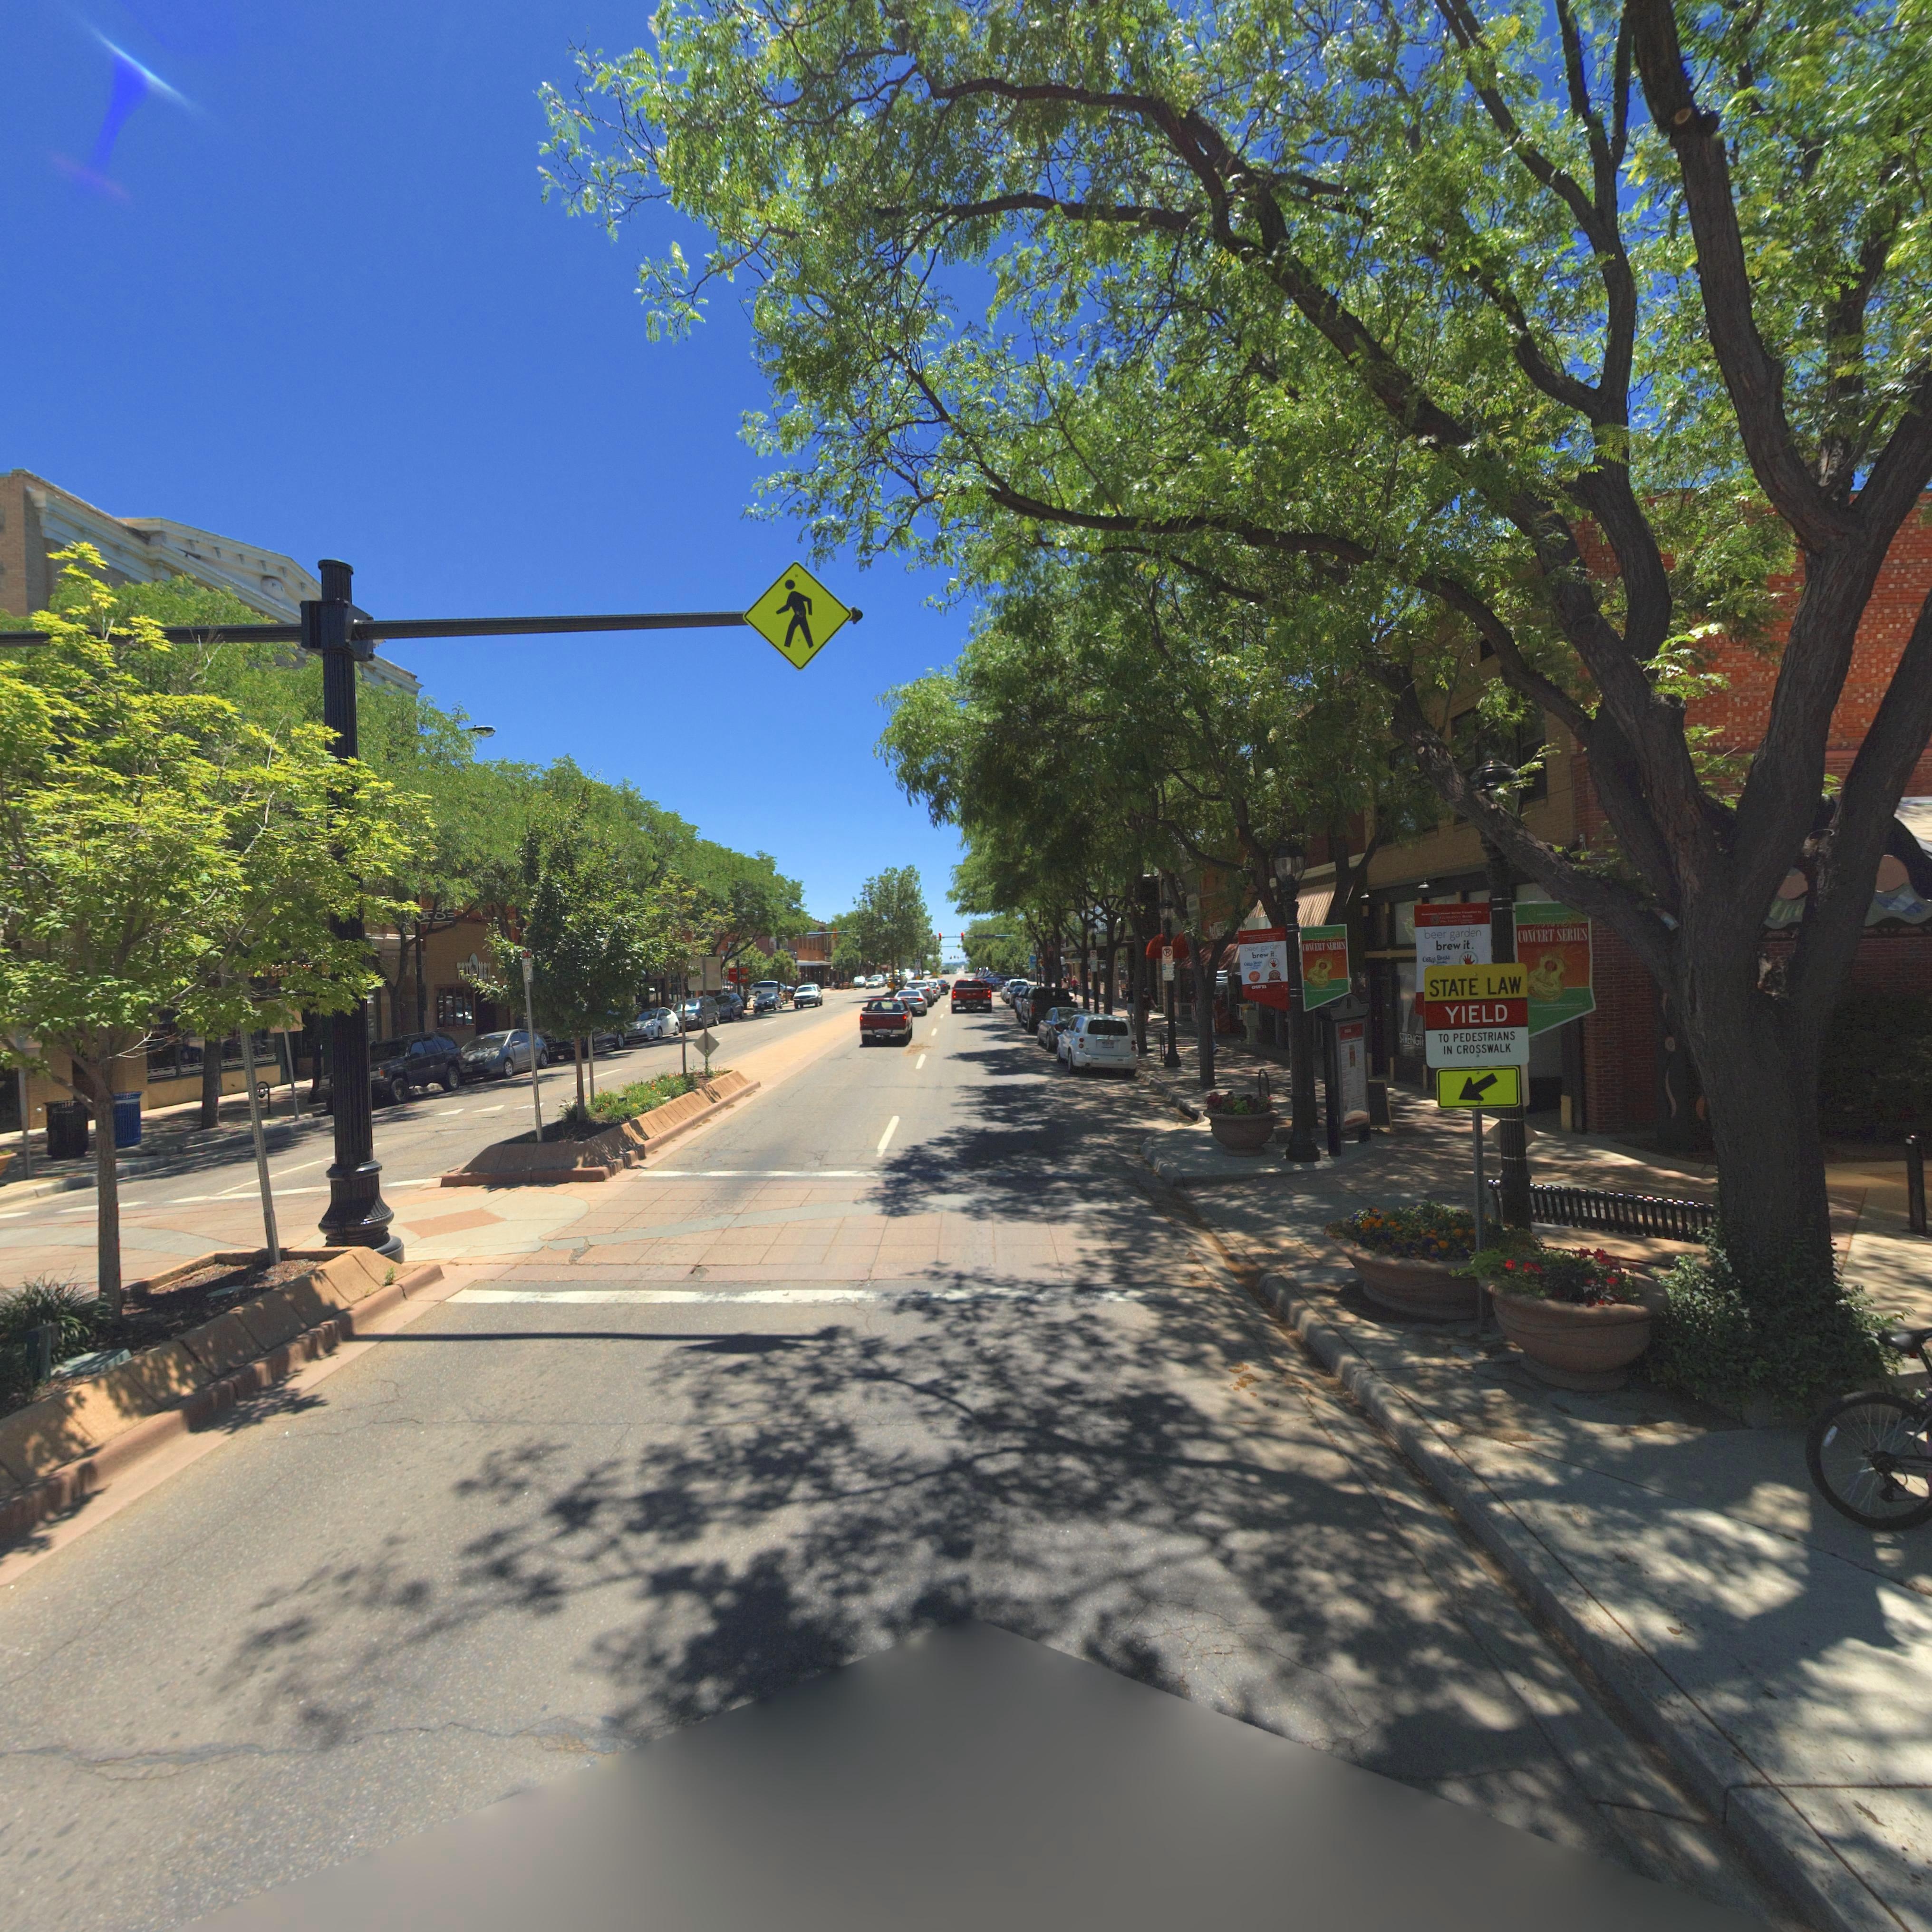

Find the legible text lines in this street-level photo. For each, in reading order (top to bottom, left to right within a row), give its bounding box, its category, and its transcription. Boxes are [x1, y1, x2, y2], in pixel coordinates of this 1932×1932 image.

[455, 961, 491, 980] BusinessName: T** MEX